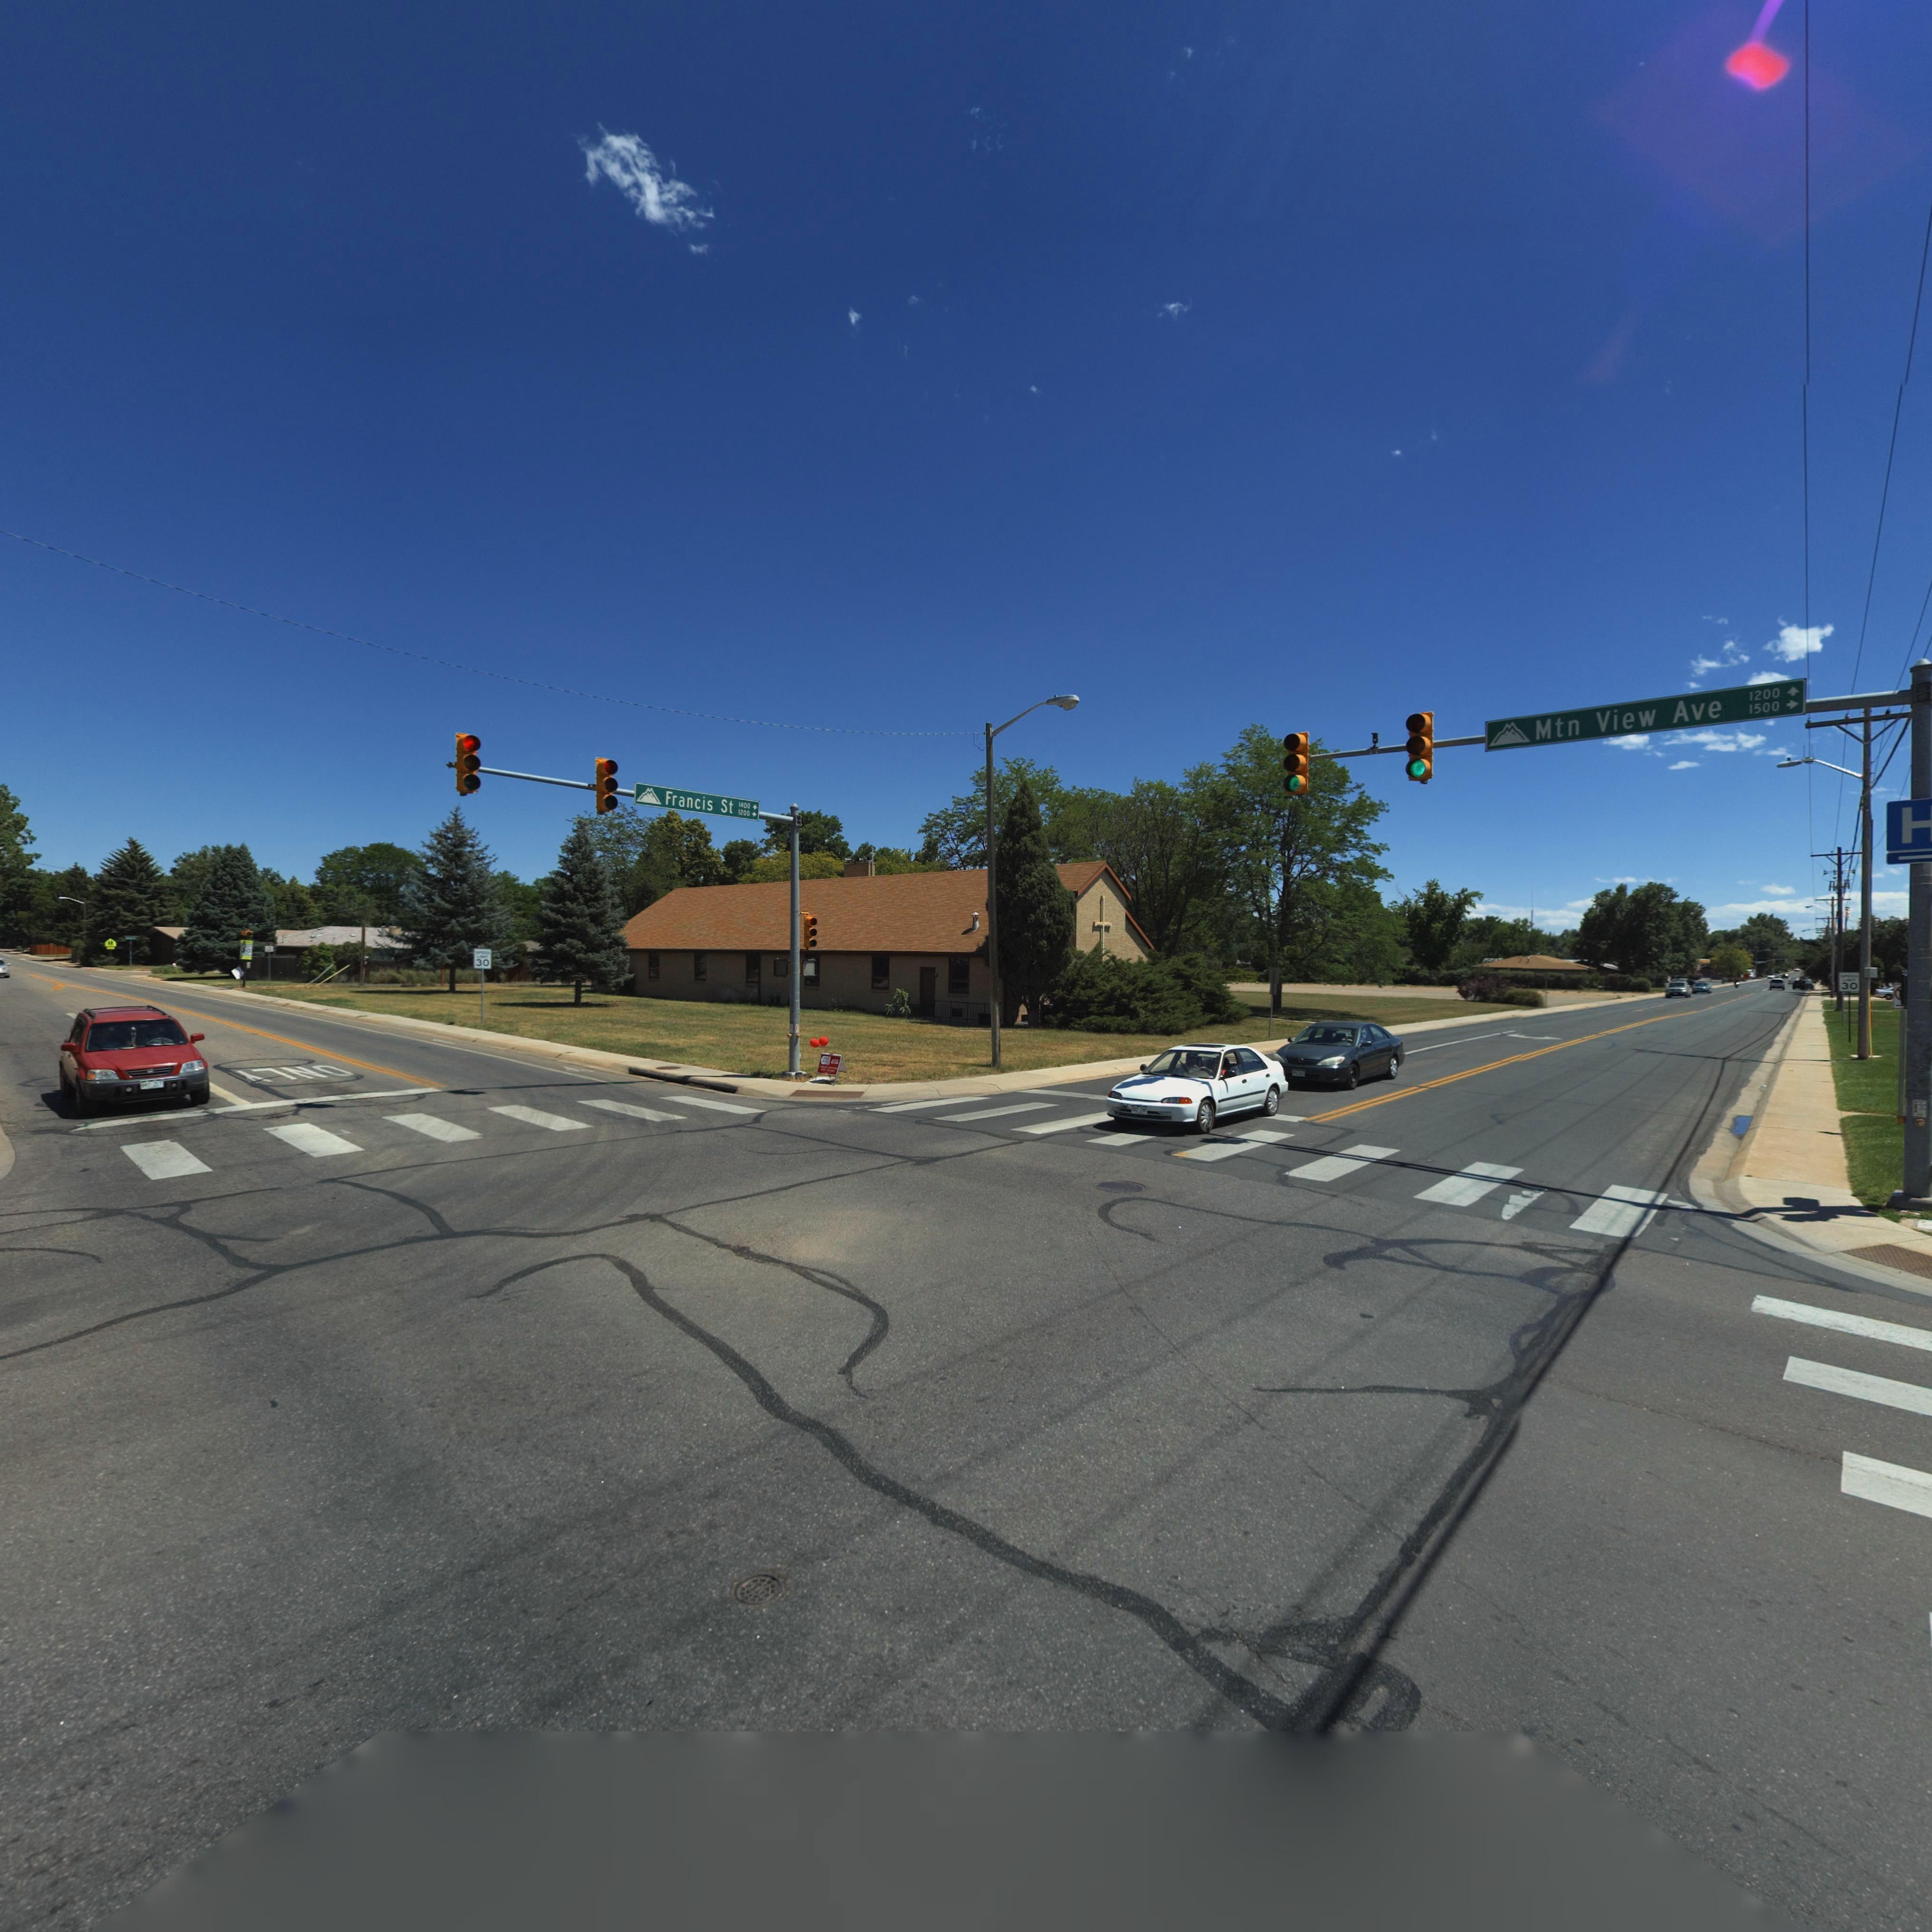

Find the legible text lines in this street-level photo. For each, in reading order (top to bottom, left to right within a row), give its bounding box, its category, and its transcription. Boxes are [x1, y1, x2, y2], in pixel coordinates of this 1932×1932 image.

[1749, 687, 1780, 701] StreetNumberRange: 1200
[1747, 699, 1800, 715] StreetNumberRange: 1500 ->
[1535, 699, 1723, 741] StreetName: Mtn View Ave
[665, 790, 734, 814] StreetName: Francis St
[738, 801, 751, 809] StreetNumberRange: 1400
[738, 809, 757, 817] StreetNumberRange: 1200 ->